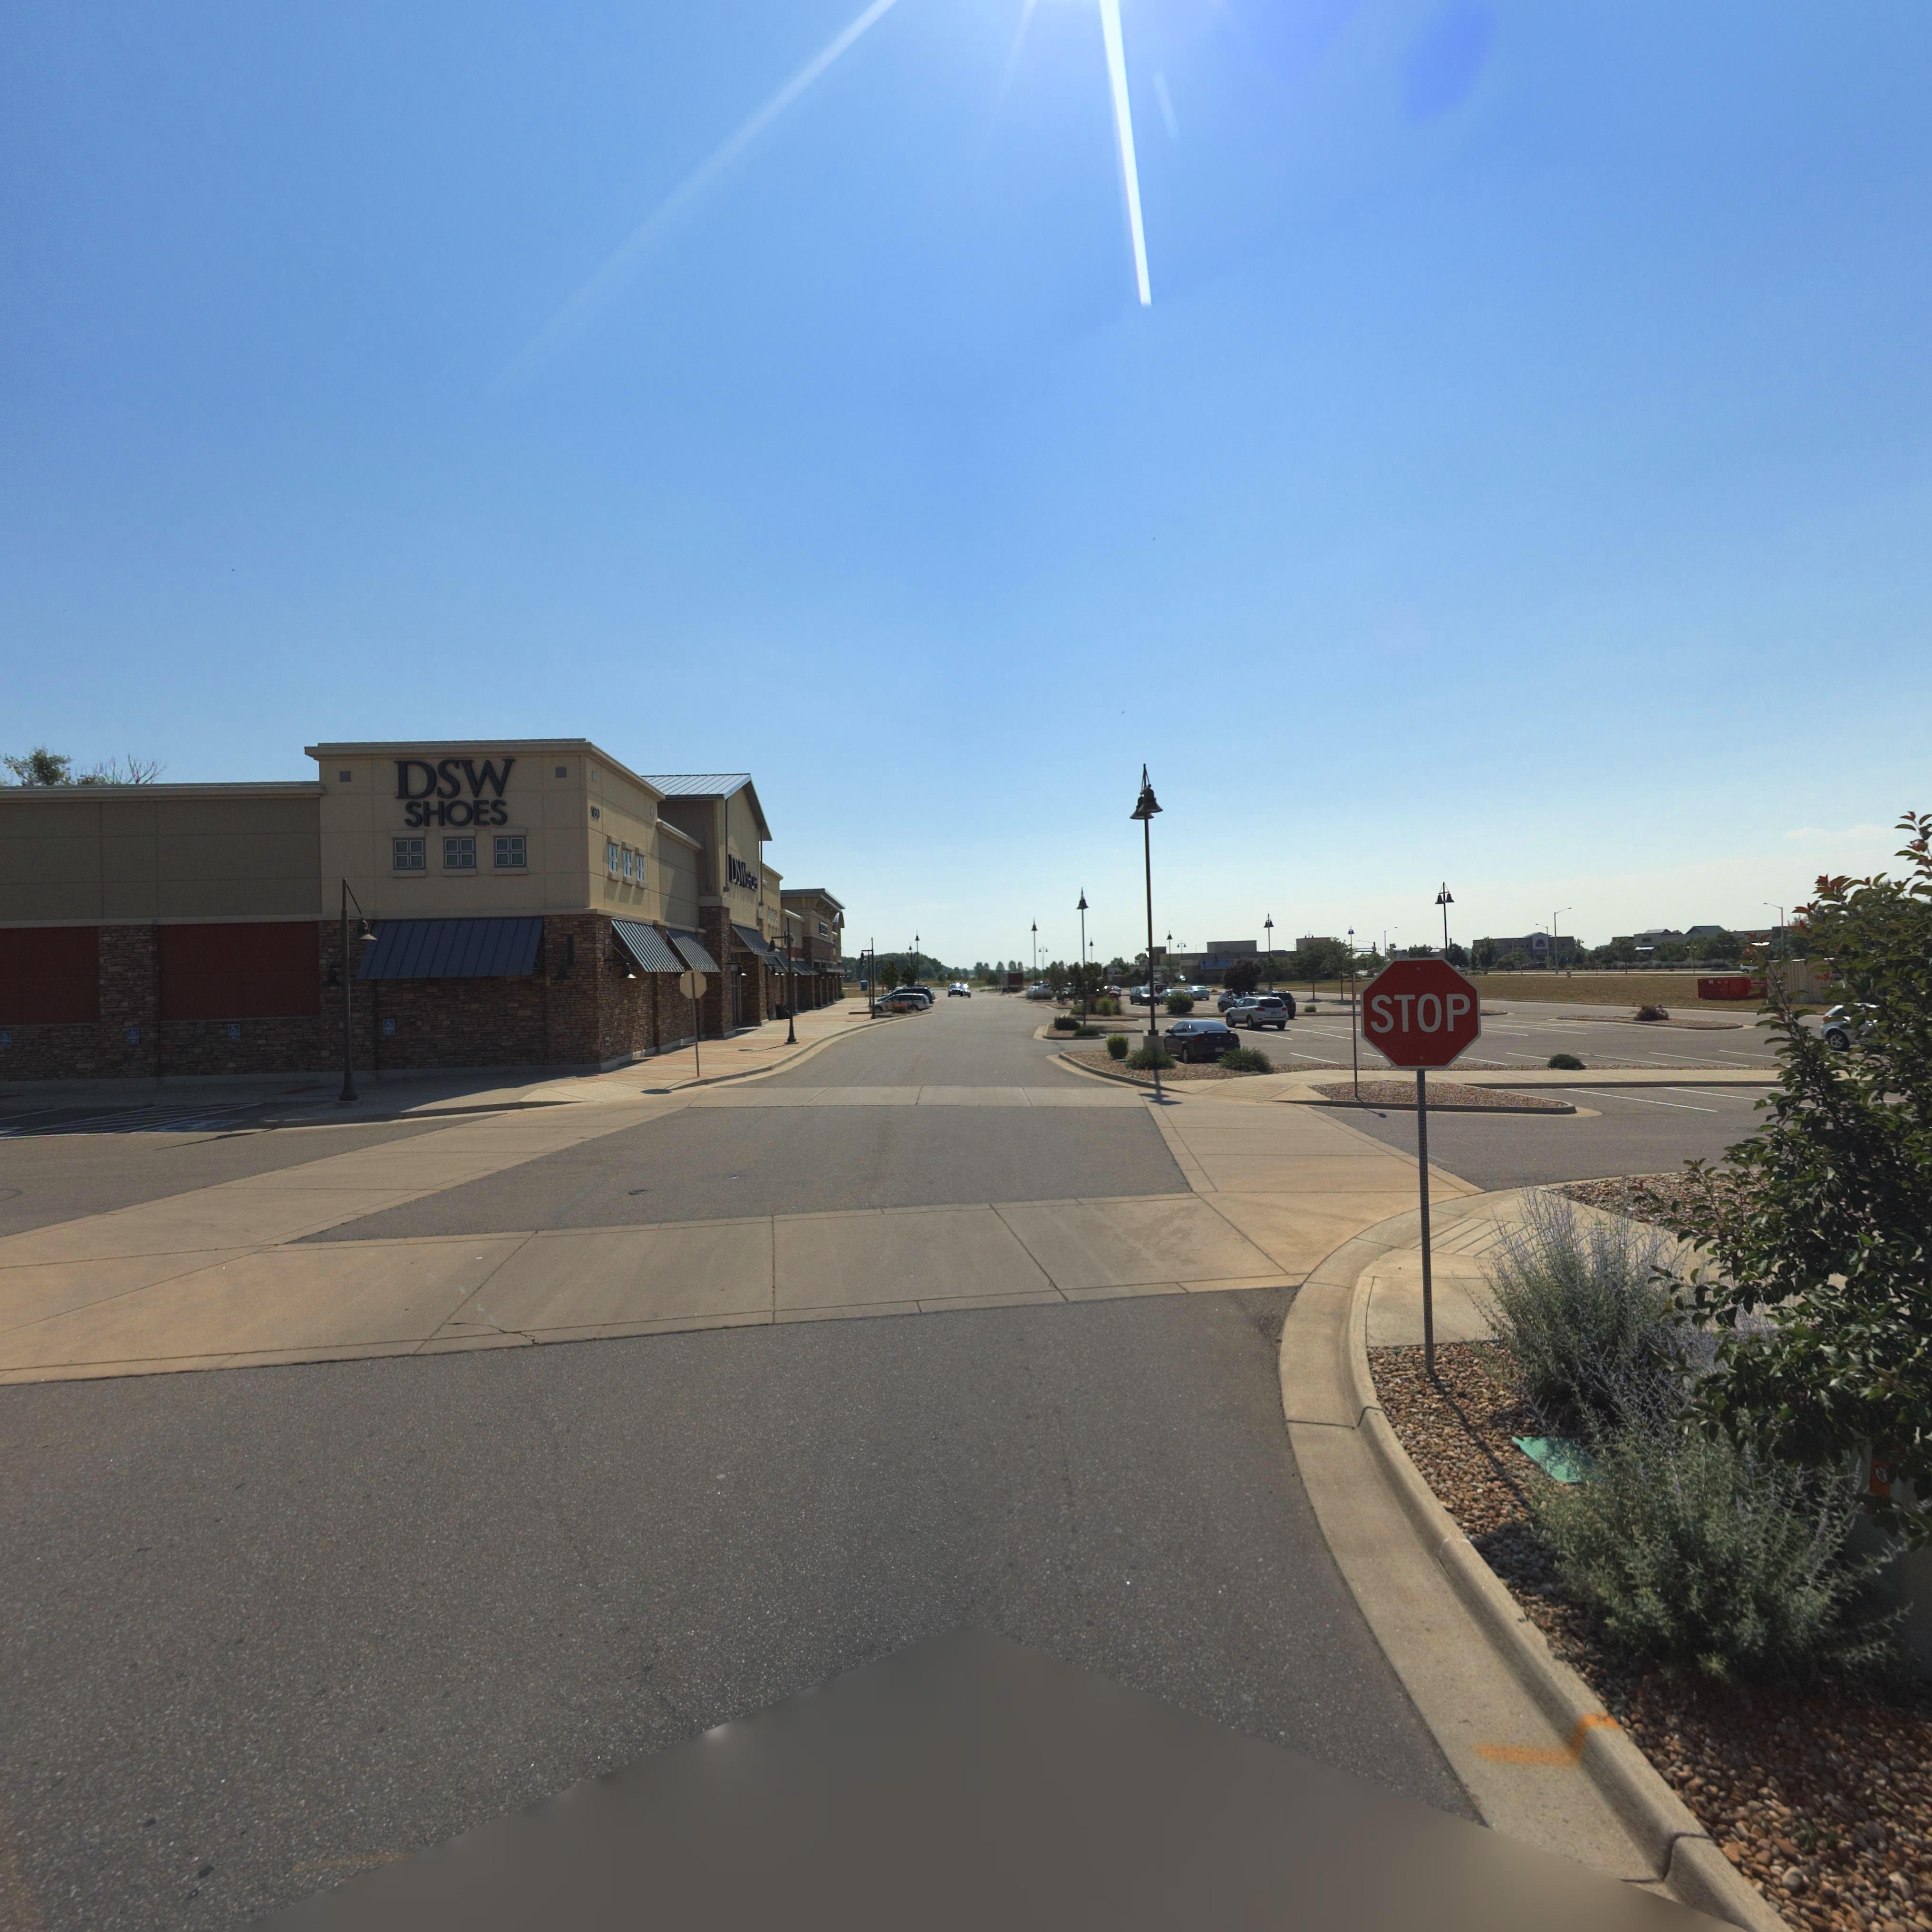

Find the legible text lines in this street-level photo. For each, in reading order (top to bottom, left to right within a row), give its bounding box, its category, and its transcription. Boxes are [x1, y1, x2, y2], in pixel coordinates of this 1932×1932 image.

[391, 757, 517, 800] BusinessName: DSW
[404, 799, 509, 828] BusinessName: SHOES
[590, 805, 600, 819] StreetNumber: 180
[728, 853, 758, 892] None: DSW SH*ES